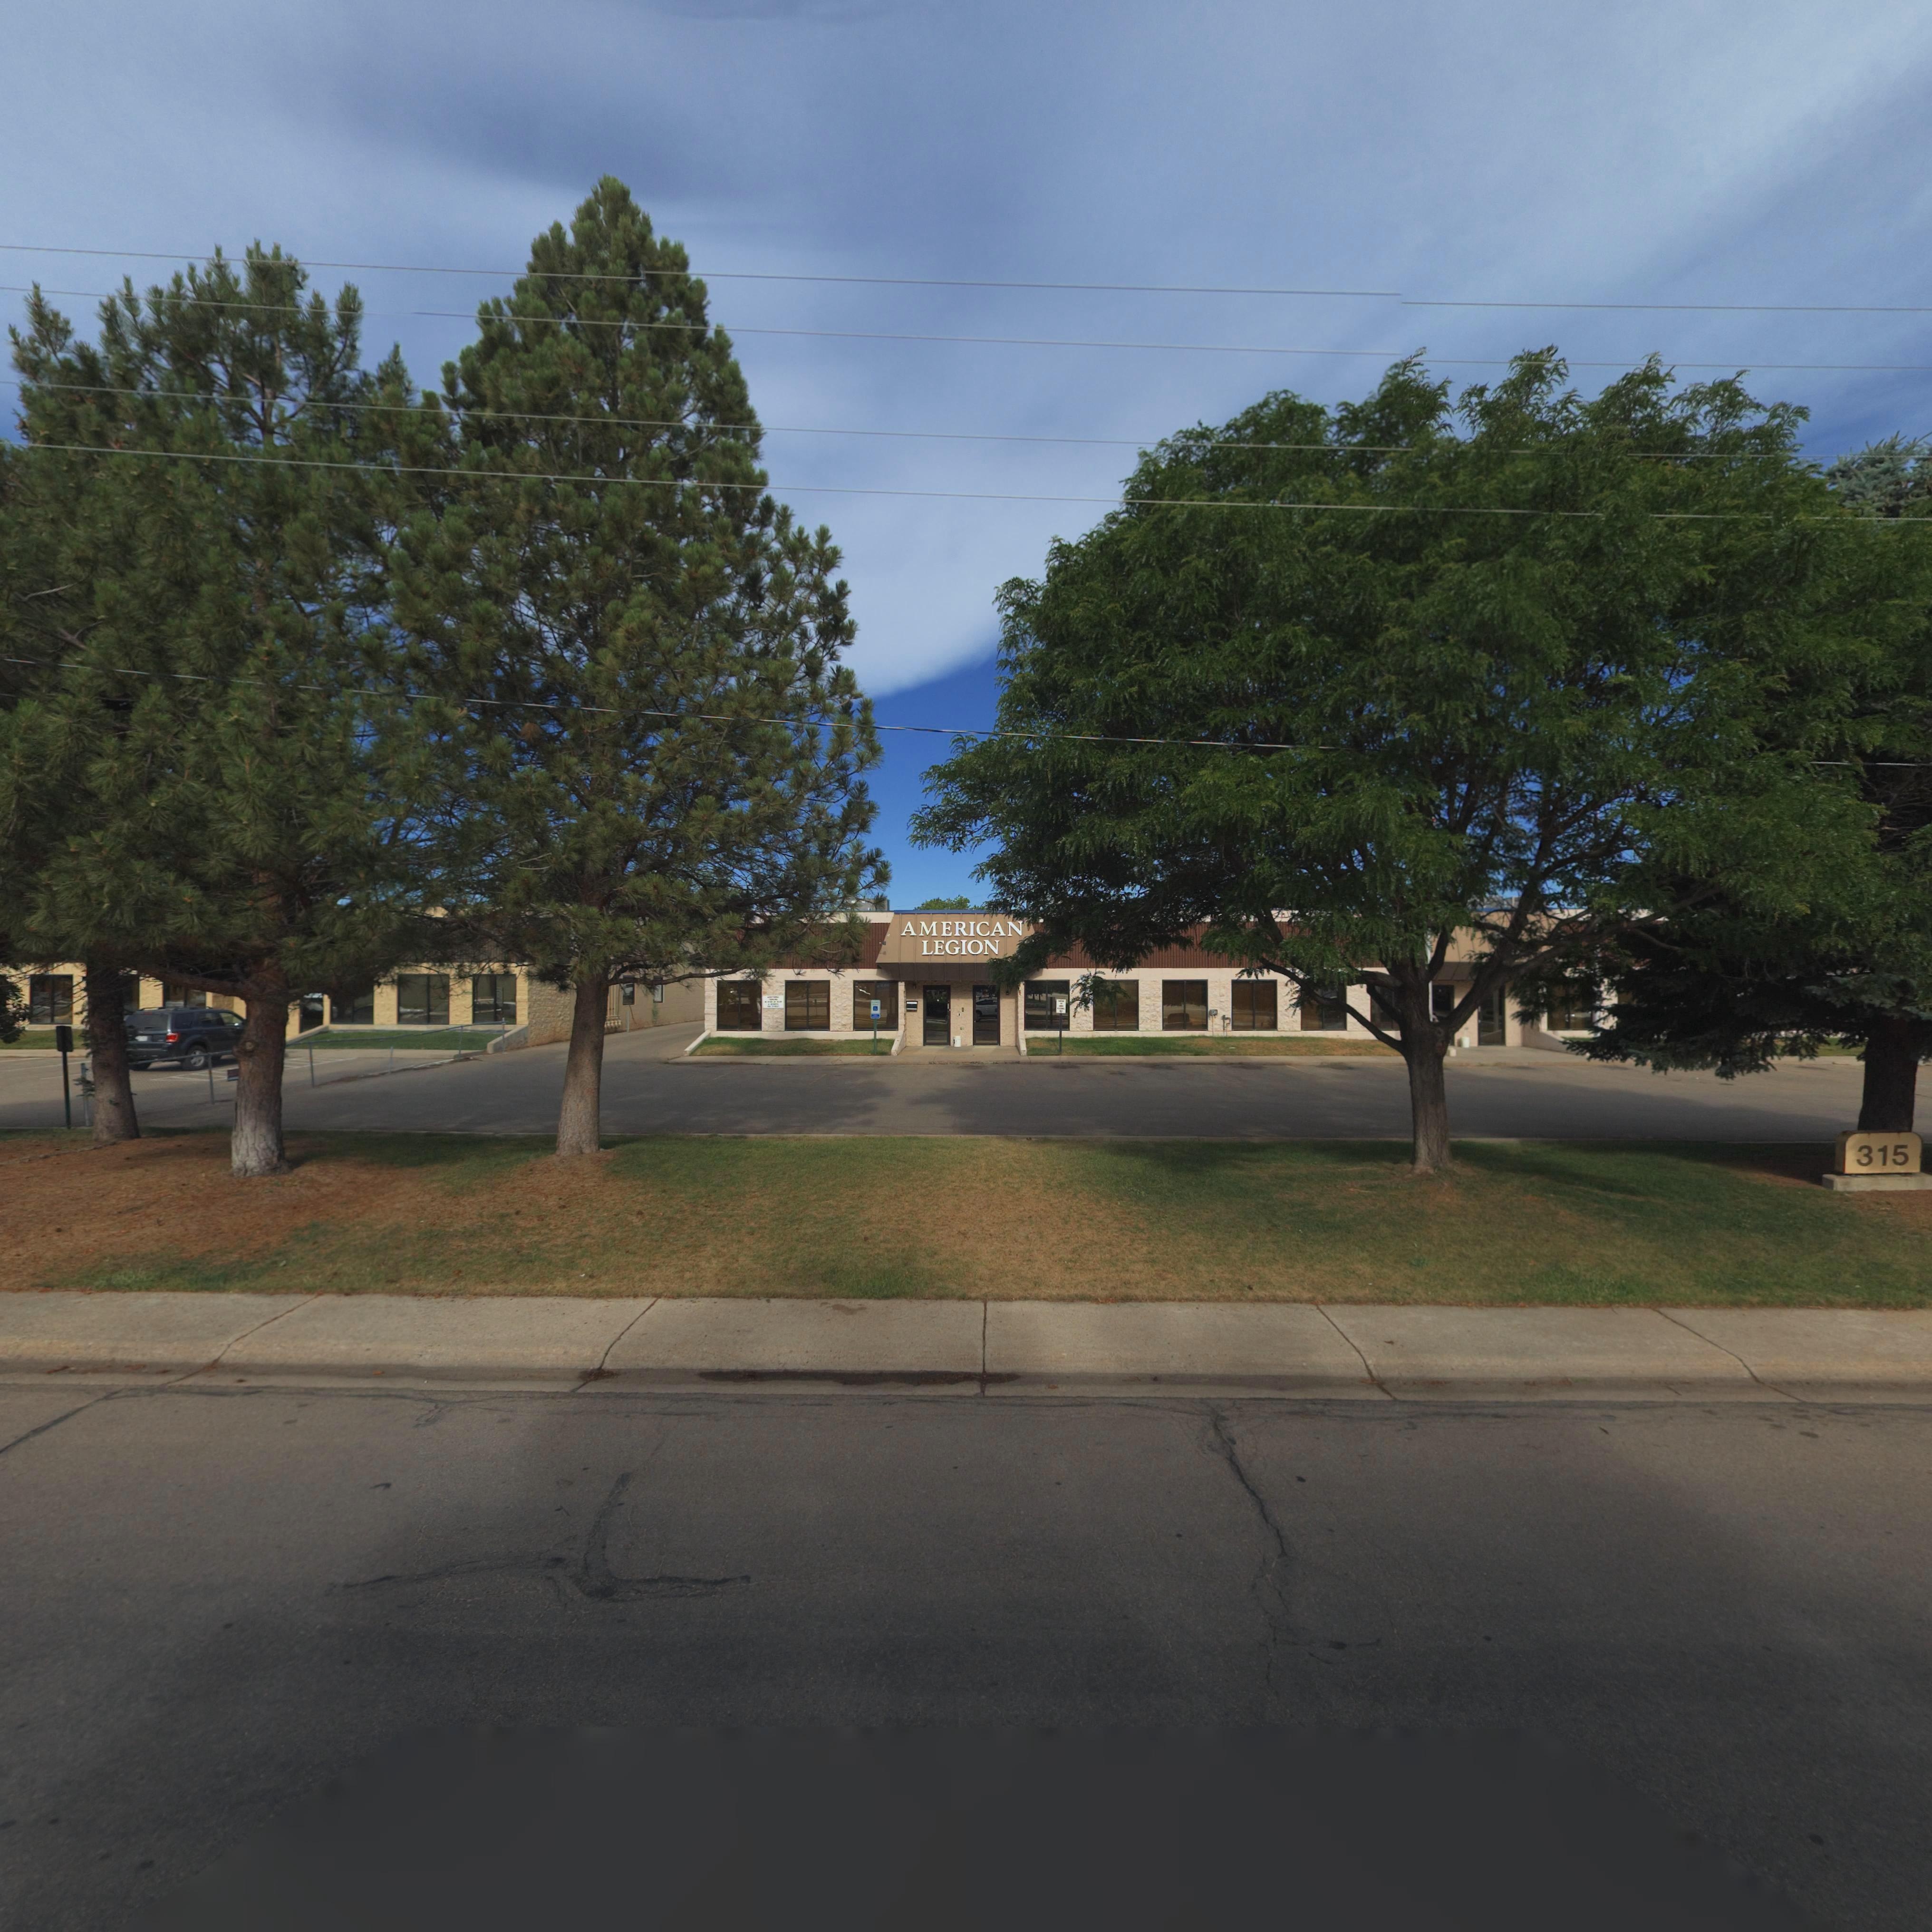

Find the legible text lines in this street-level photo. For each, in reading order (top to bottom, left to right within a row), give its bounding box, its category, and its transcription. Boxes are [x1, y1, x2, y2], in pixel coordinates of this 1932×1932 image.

[899, 920, 1023, 937] BusinessName: AMERICAN
[920, 939, 1000, 956] BusinessName: LEGION
[1855, 1143, 1910, 1167] StreetNumber: 315